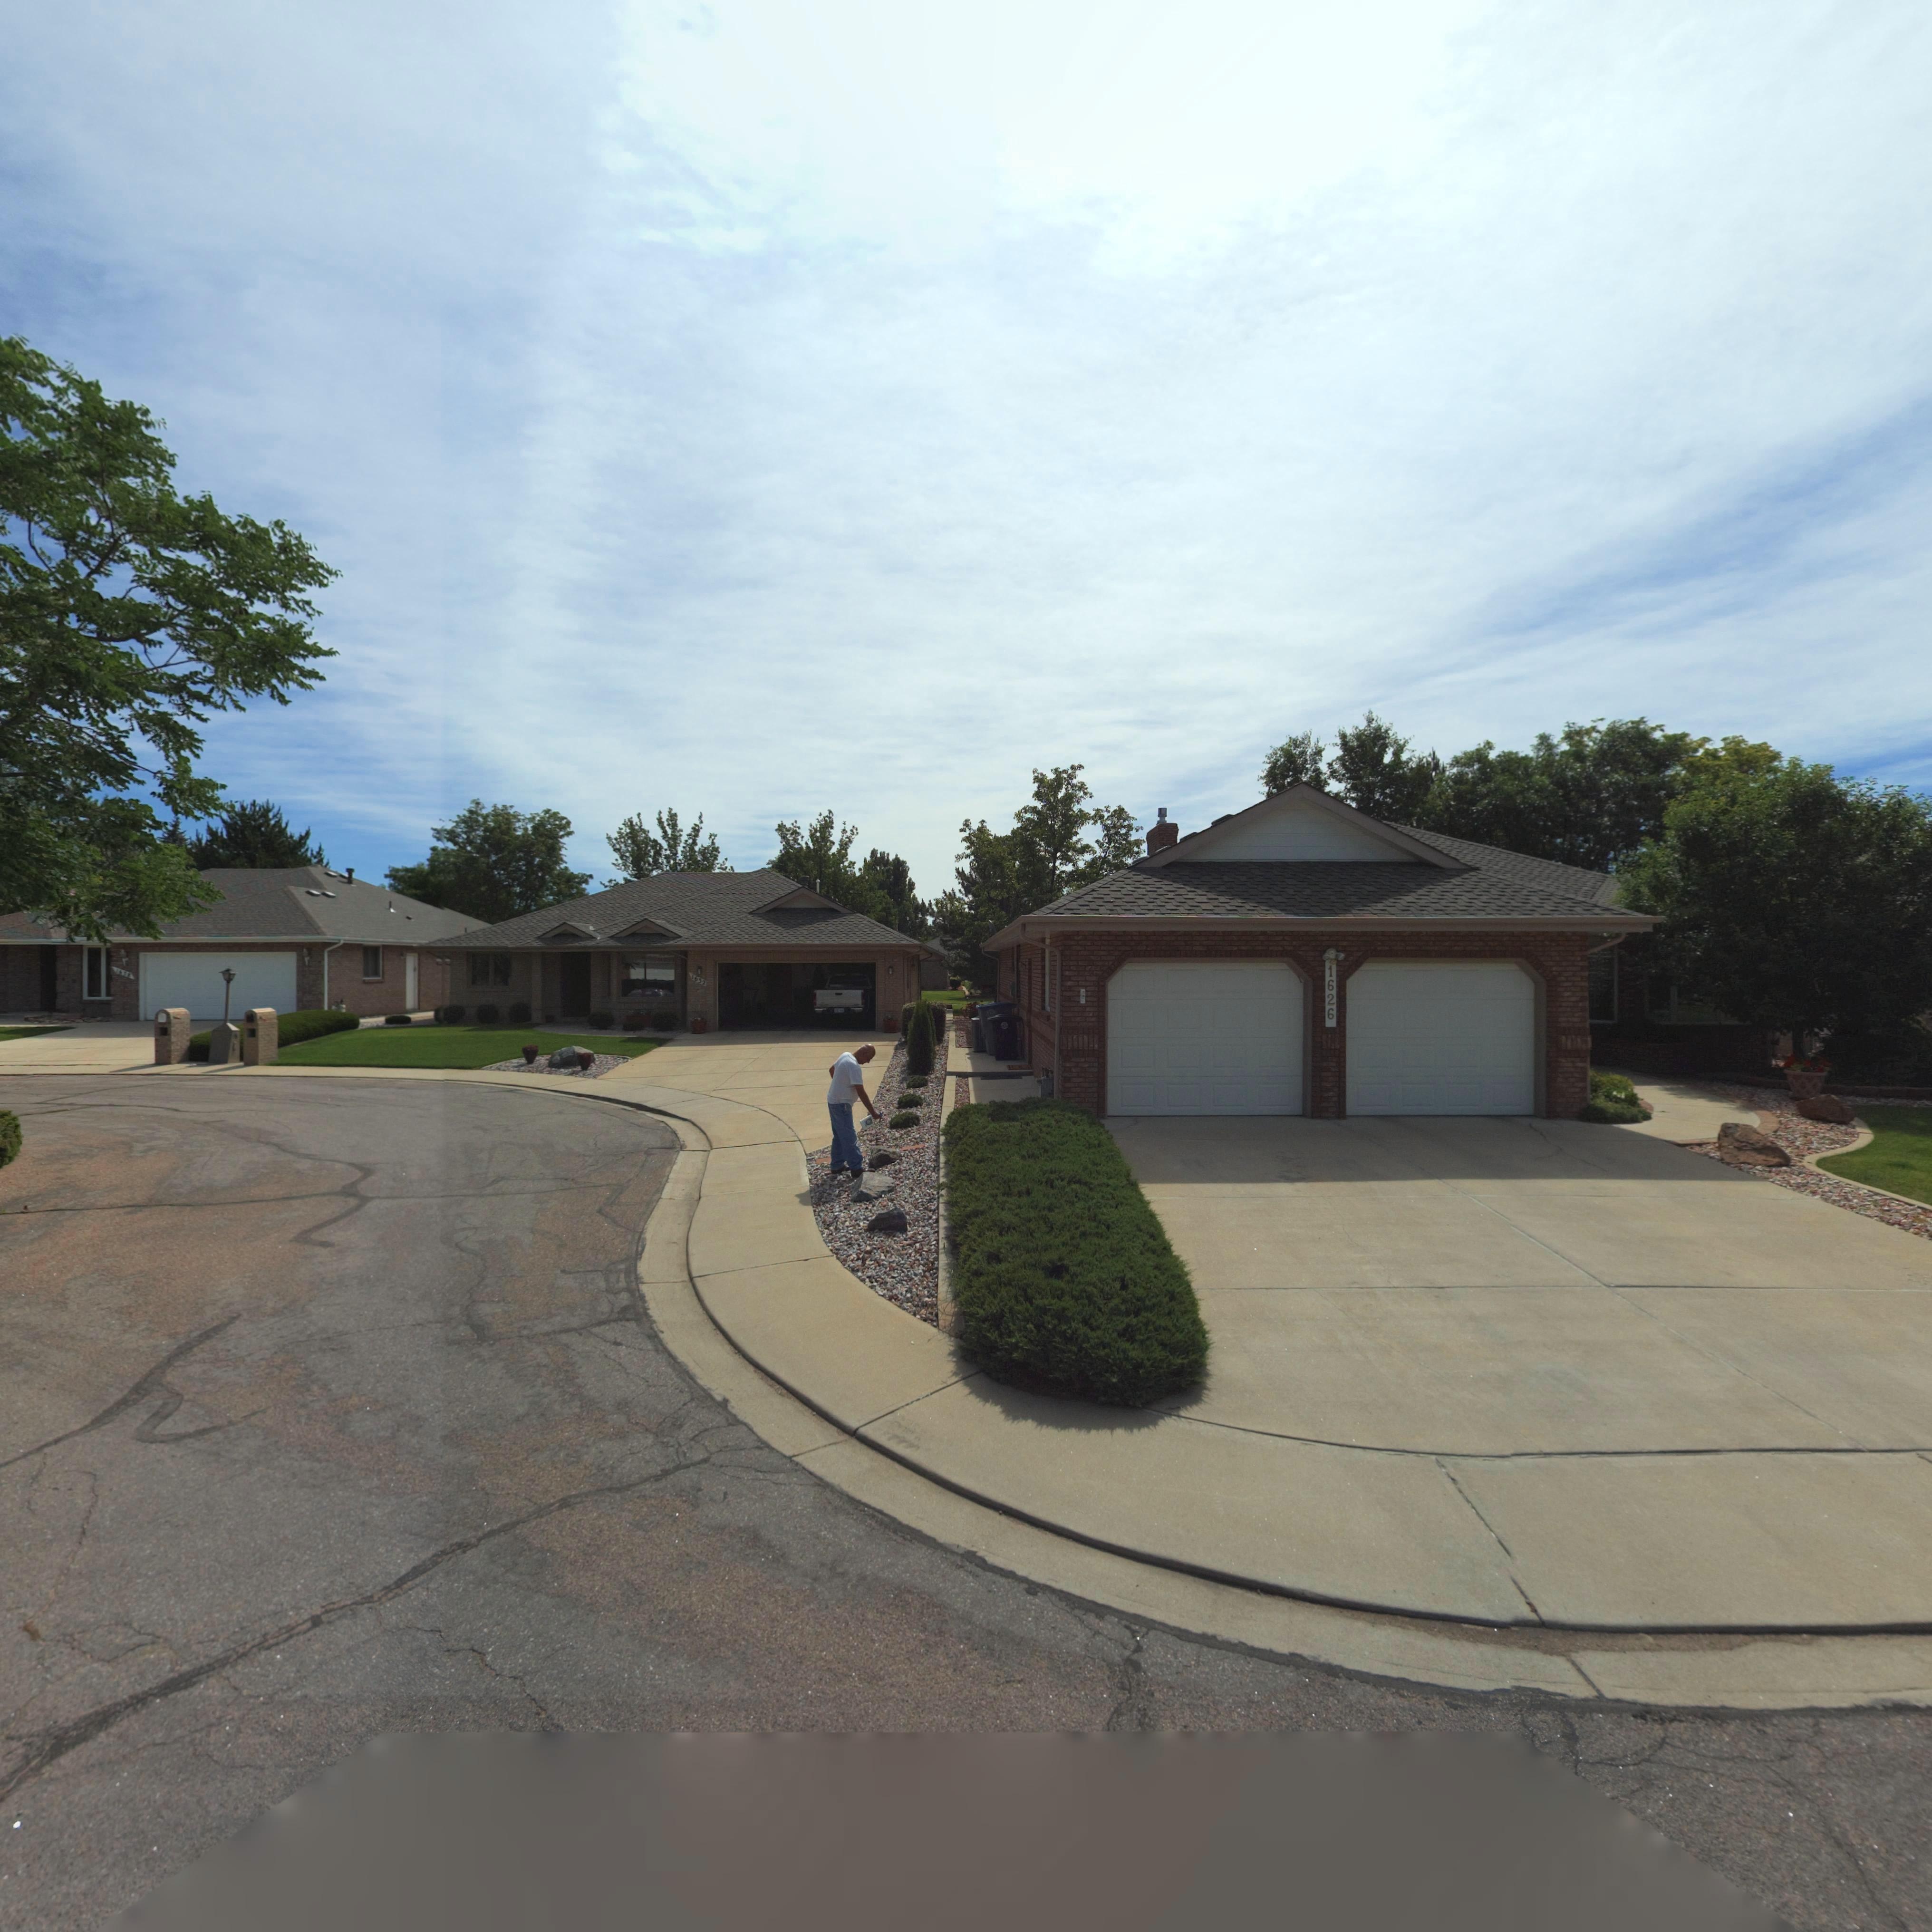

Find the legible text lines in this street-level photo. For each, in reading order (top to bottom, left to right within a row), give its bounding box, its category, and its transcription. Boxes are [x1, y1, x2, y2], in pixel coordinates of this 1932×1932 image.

[119, 969, 131, 978] StreetNumber: 6**
[691, 974, 705, 985] StreetNumber: 1632
[1327, 964, 1335, 1020] StreetNumber: 1626